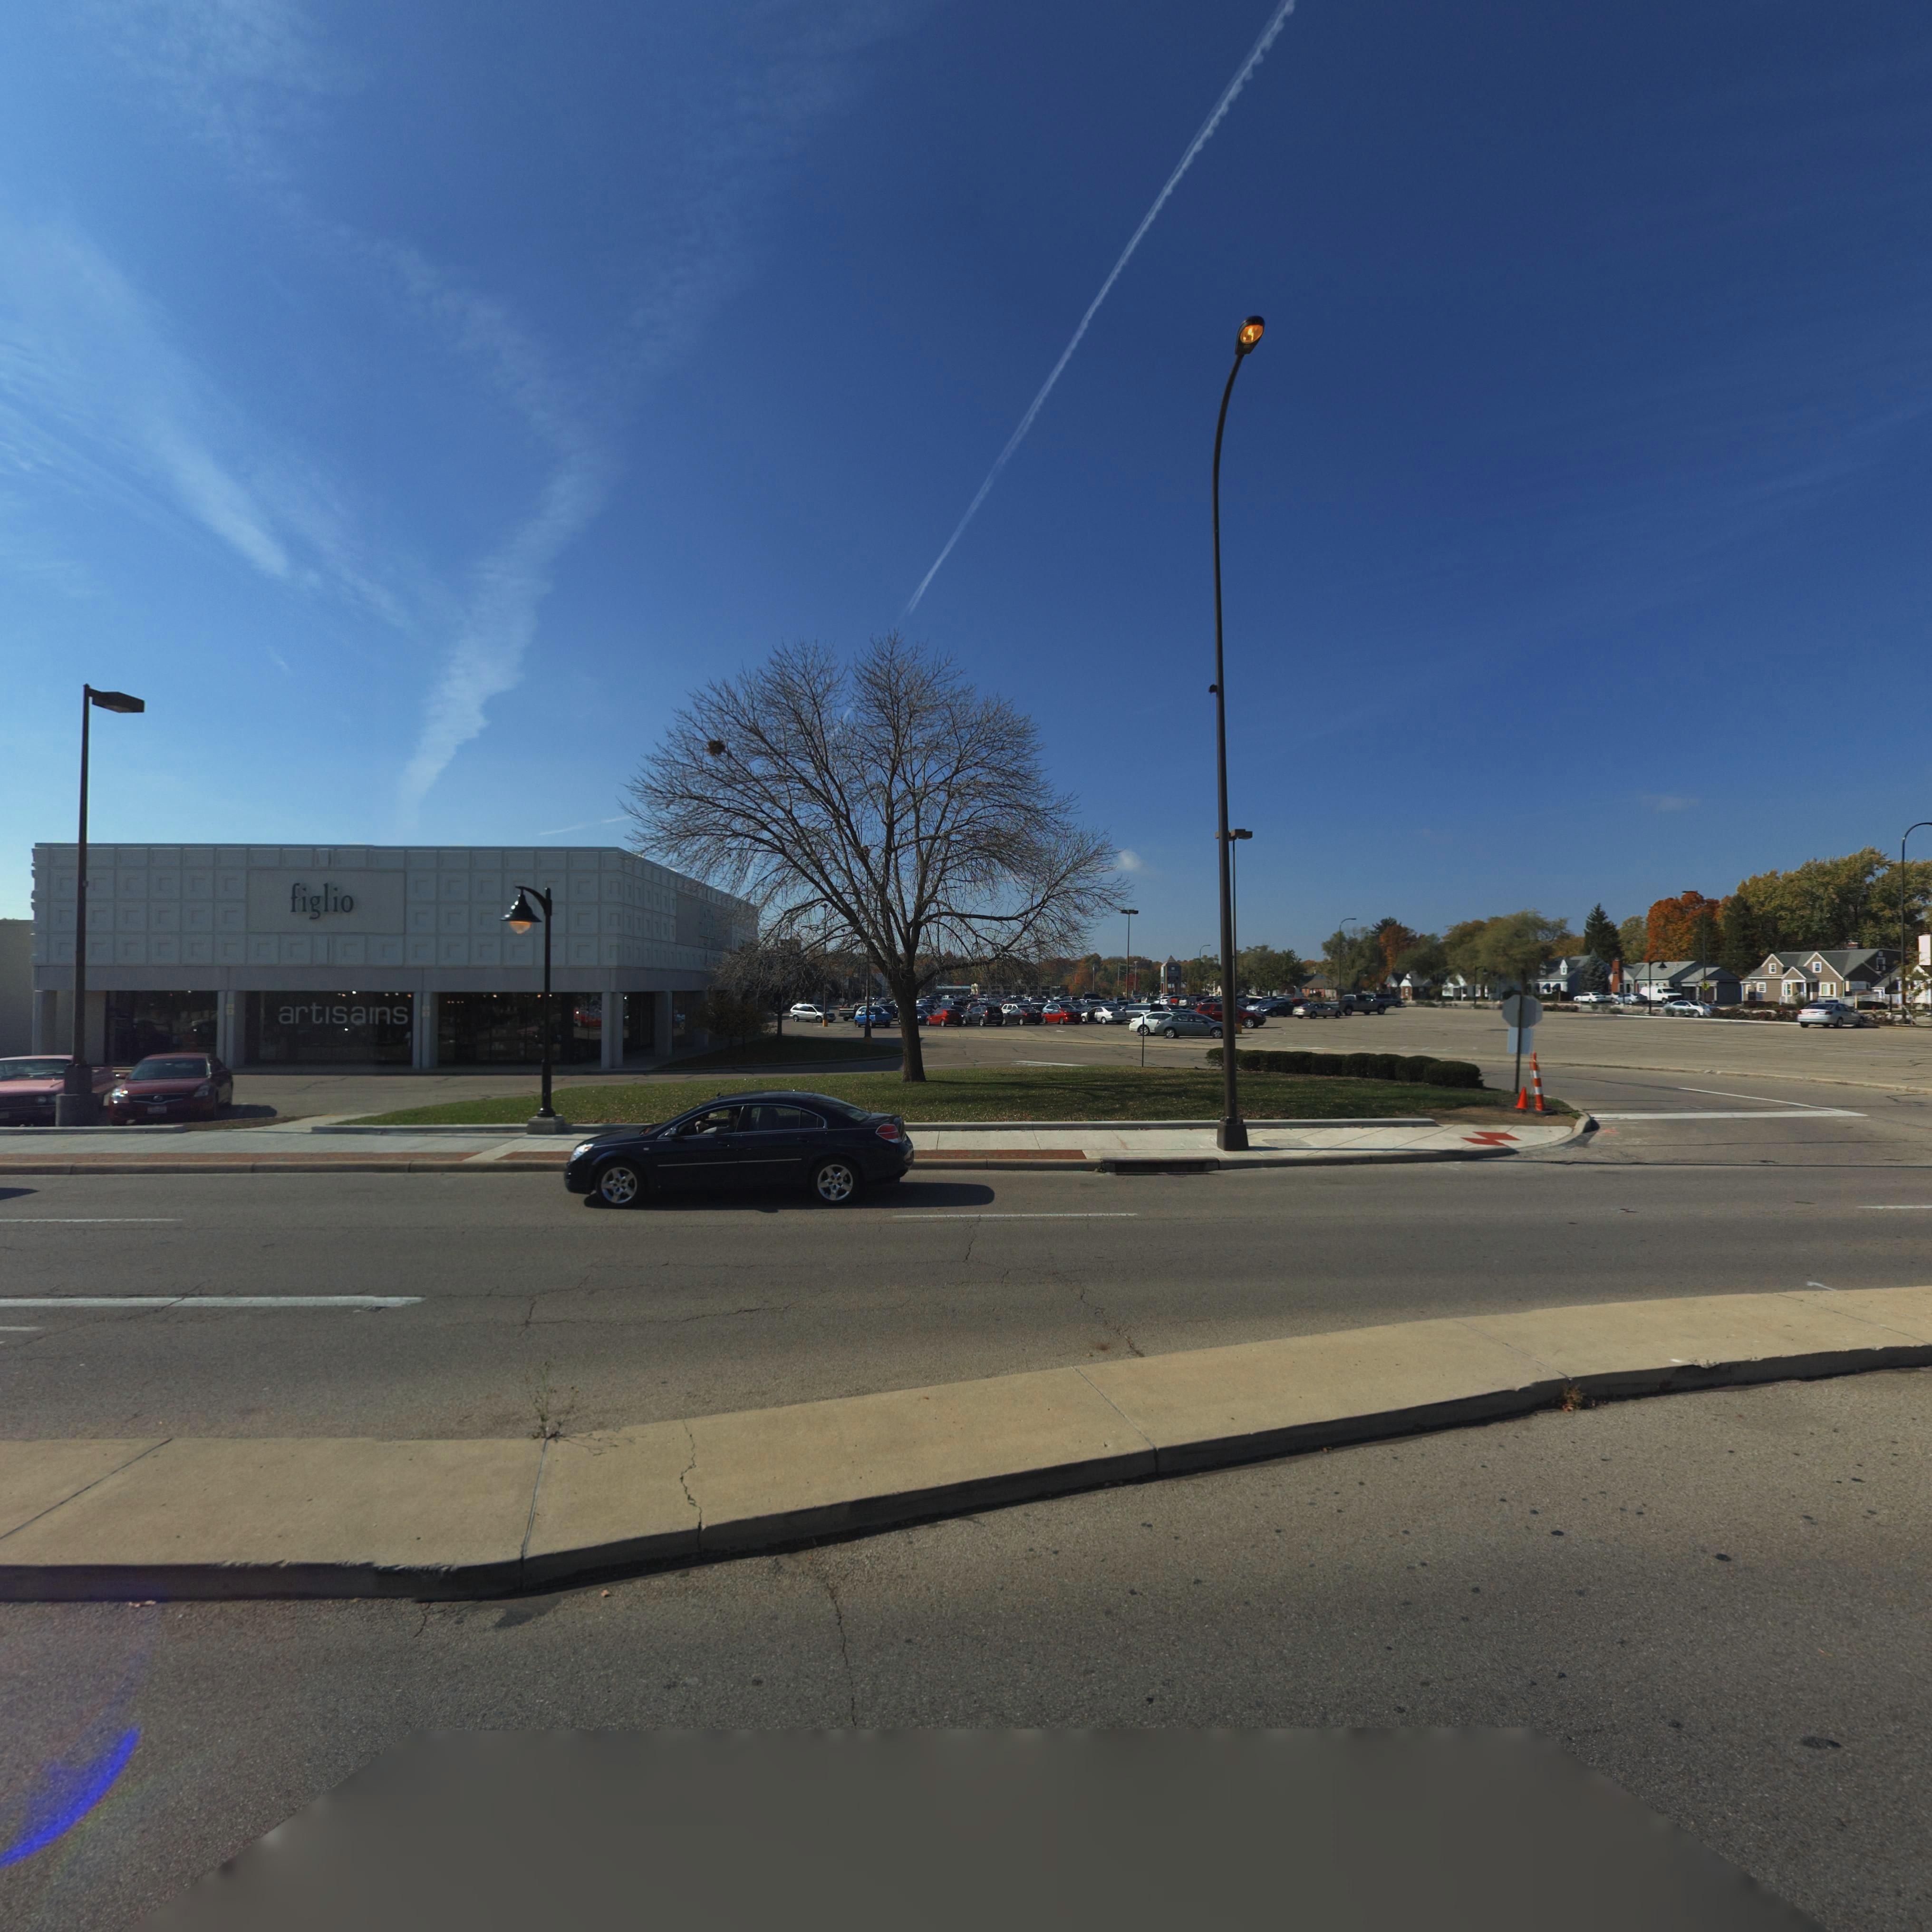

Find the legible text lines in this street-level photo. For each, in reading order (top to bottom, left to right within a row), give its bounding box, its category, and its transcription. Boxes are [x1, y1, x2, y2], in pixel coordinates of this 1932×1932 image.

[290, 881, 354, 920] BusinessName: figlio
[277, 1001, 408, 1025] None: artisa*ns